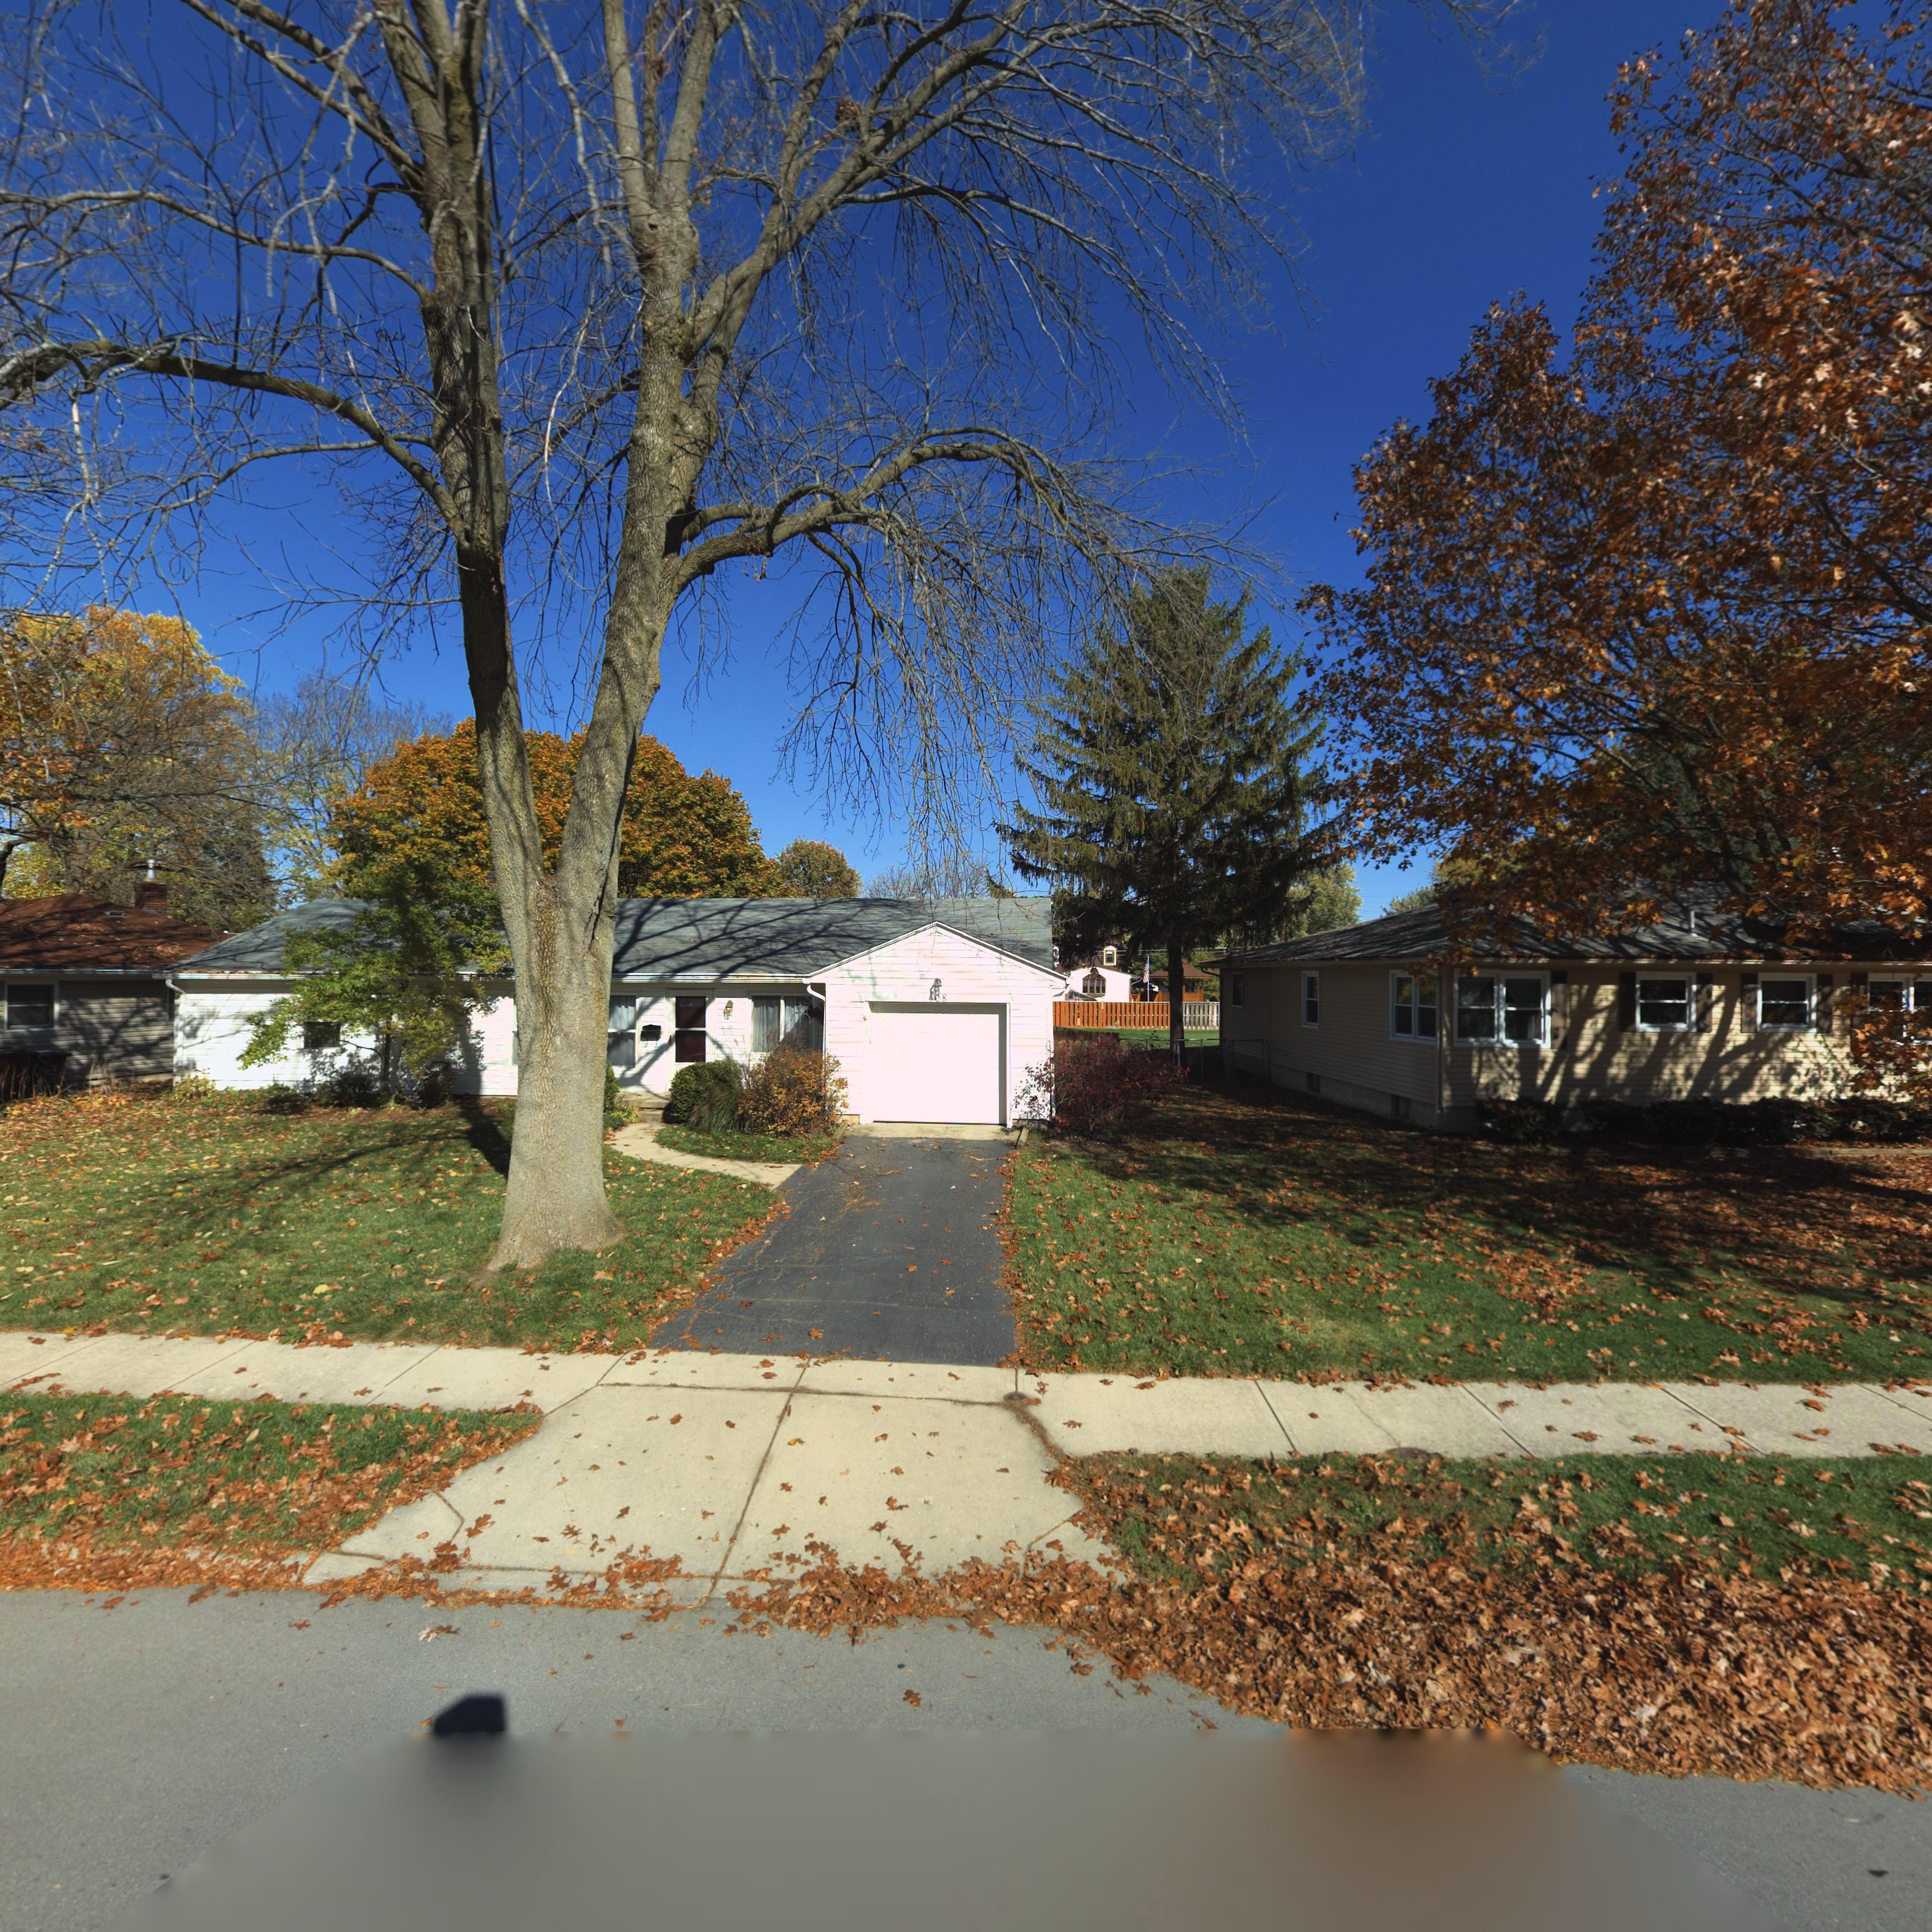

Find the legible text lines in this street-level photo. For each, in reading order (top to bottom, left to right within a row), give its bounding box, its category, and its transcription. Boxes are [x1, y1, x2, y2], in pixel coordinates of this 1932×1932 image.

[928, 994, 947, 1003] StreetNumber: 408